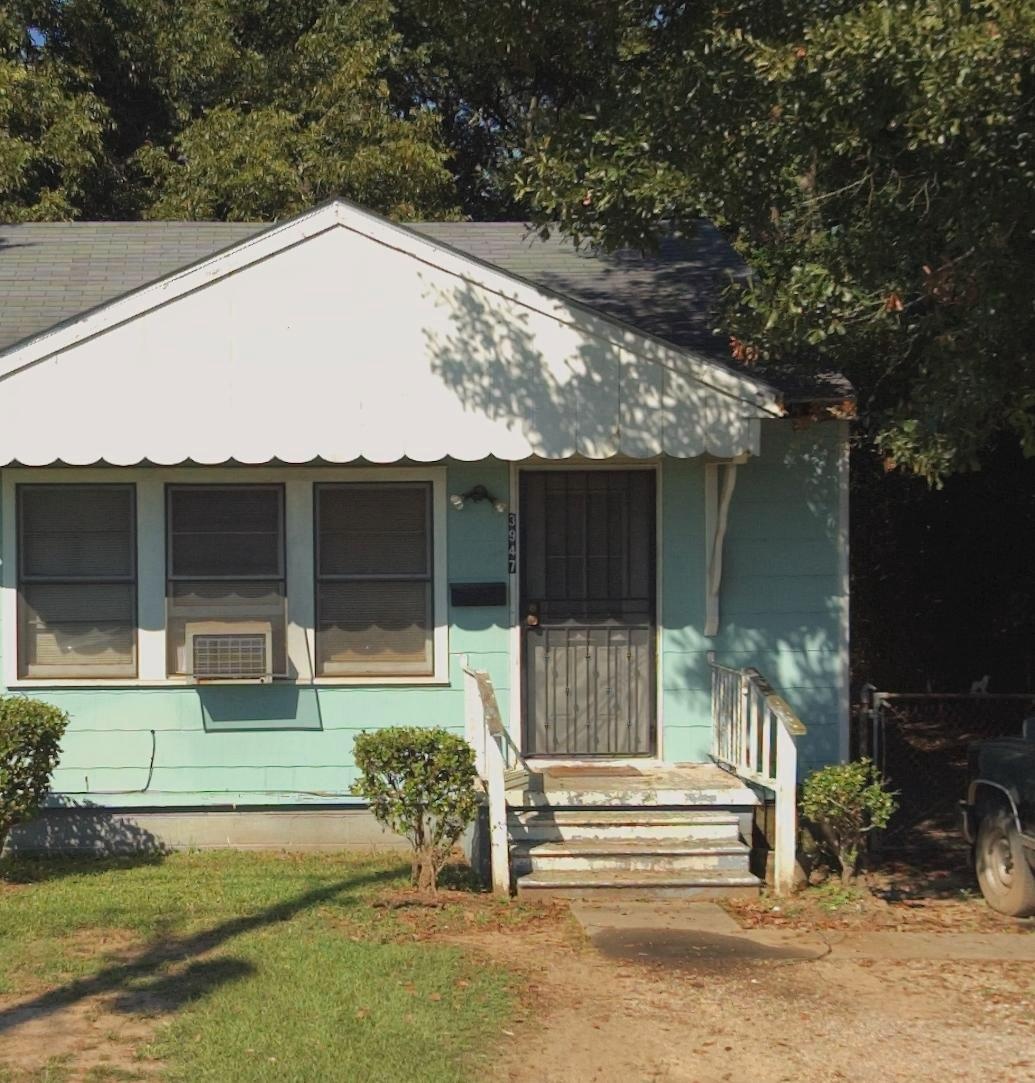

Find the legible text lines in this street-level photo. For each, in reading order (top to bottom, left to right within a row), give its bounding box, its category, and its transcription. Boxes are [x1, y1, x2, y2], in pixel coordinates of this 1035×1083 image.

[508, 513, 517, 575] StreetNumber: 3947